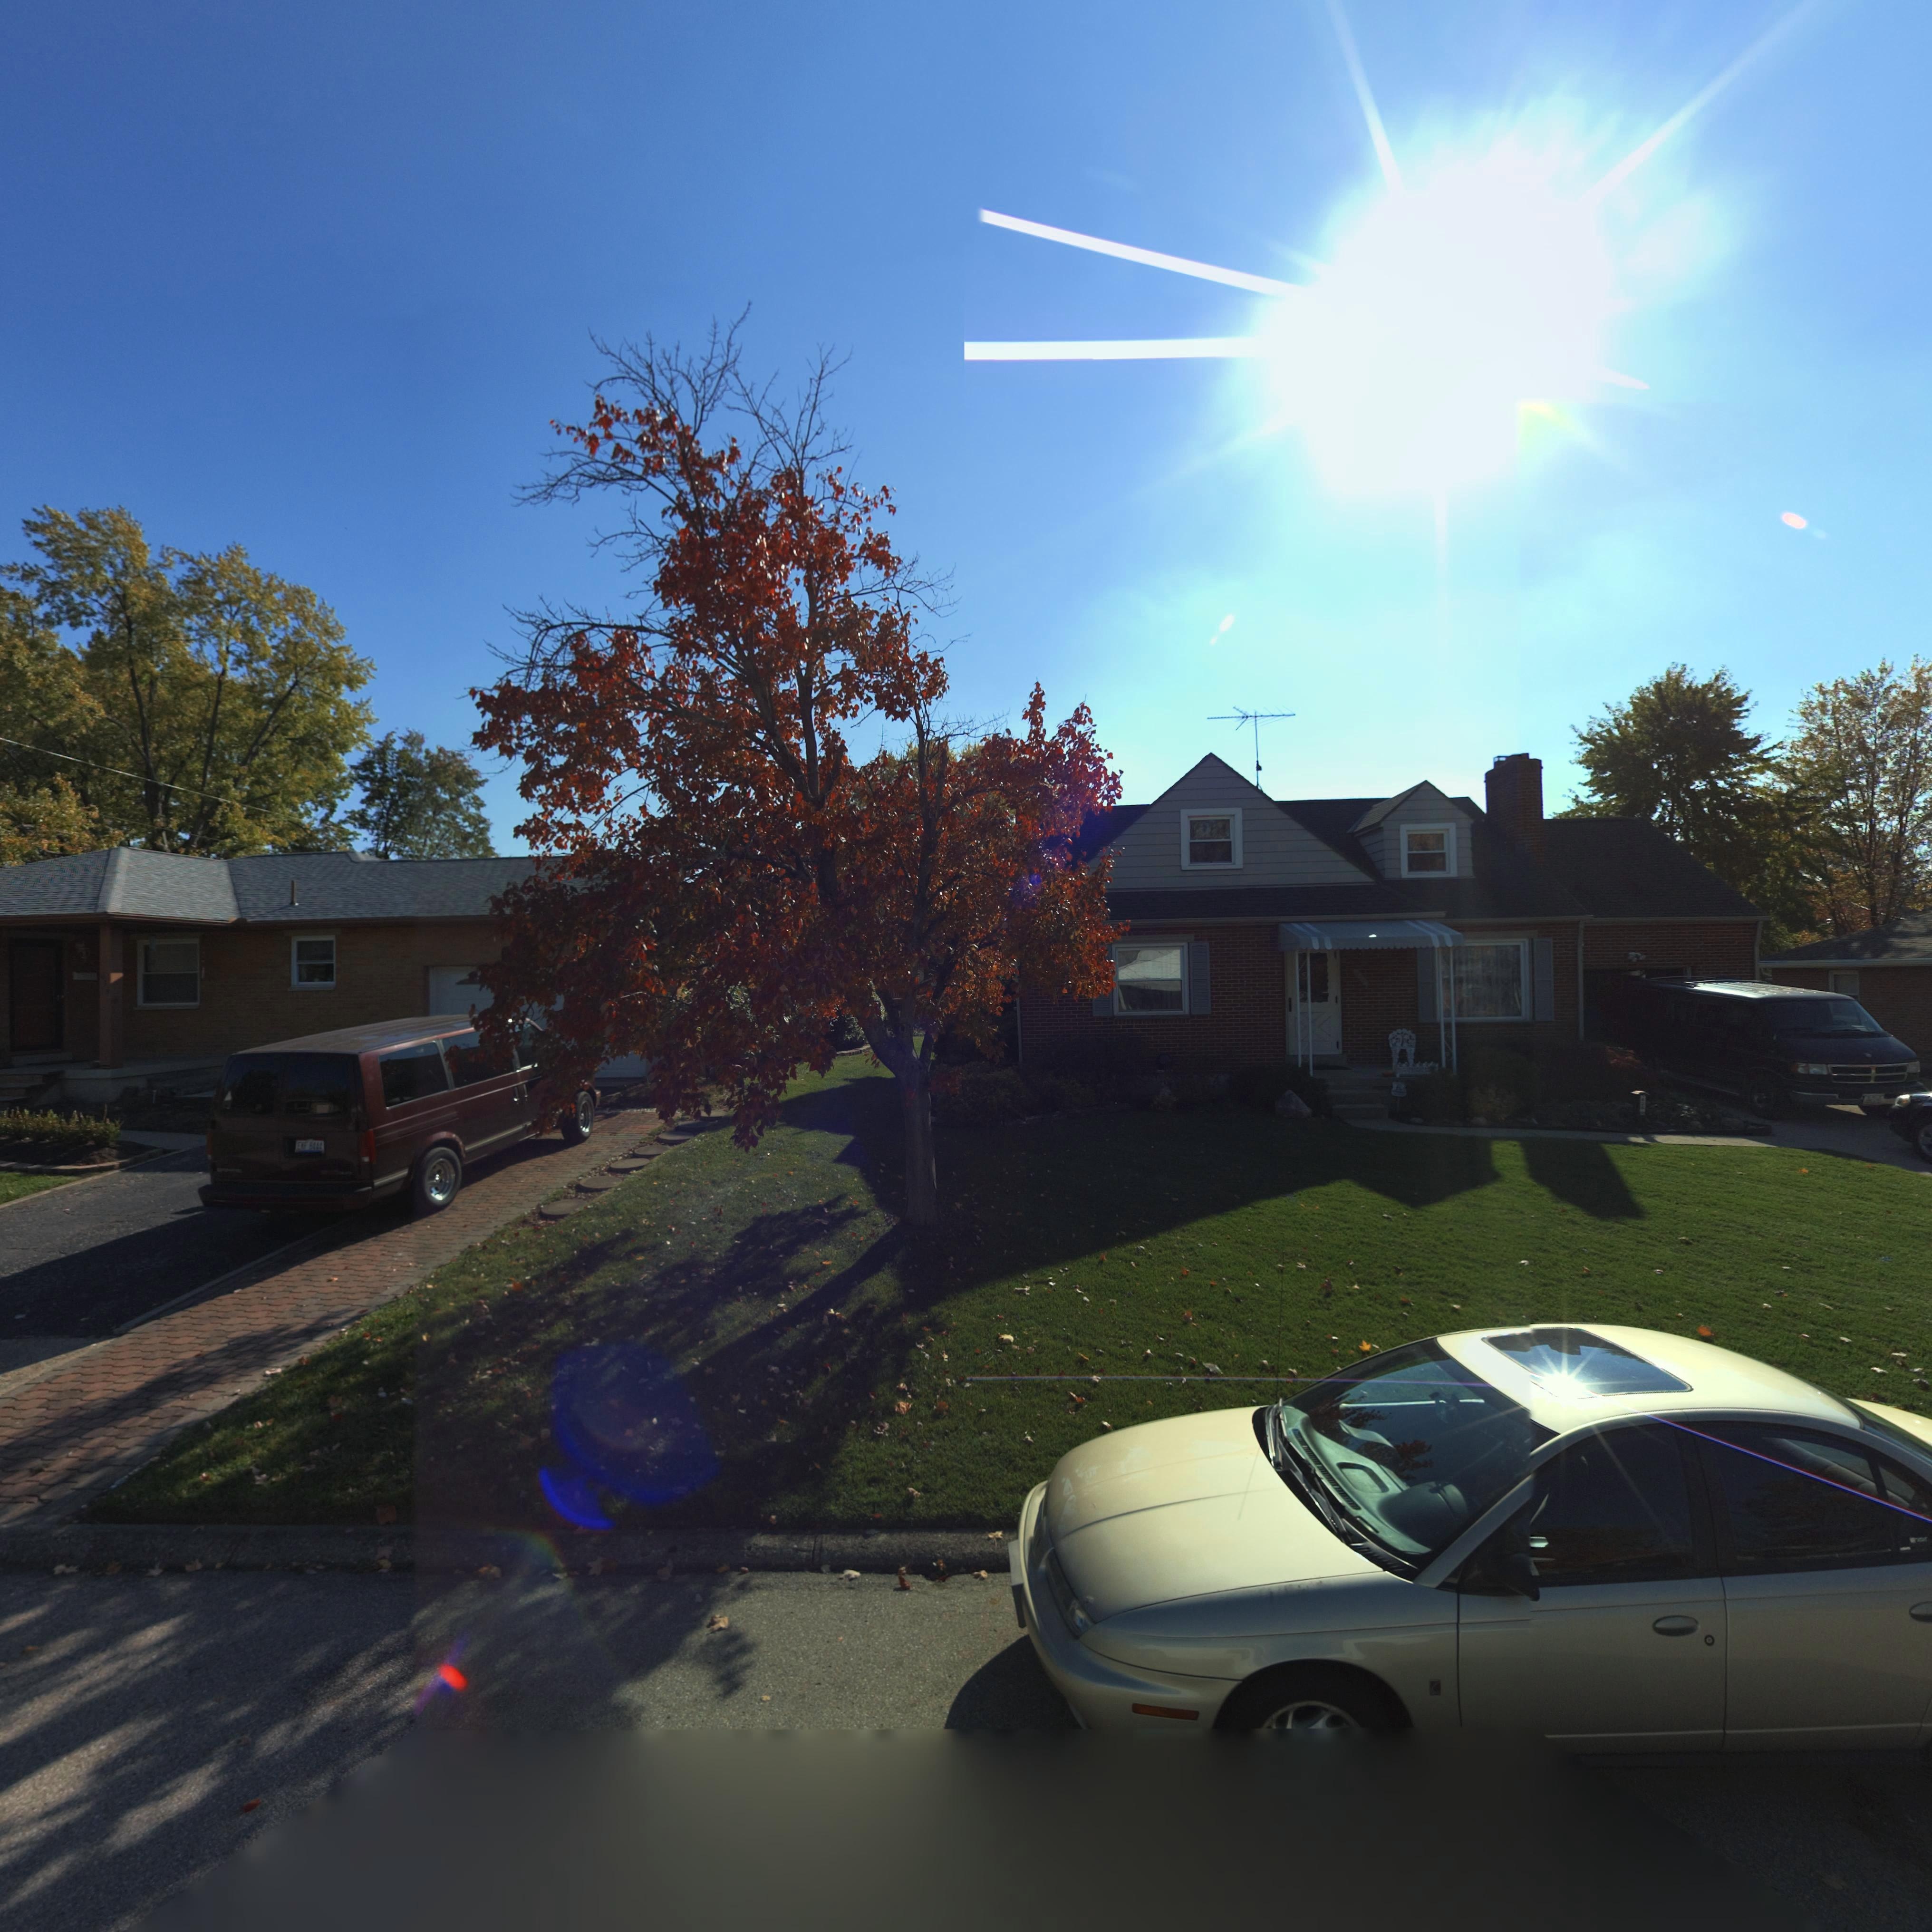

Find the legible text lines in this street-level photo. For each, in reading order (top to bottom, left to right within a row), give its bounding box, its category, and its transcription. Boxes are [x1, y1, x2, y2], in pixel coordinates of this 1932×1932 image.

[296, 1141, 323, 1150] None: EKF*8444